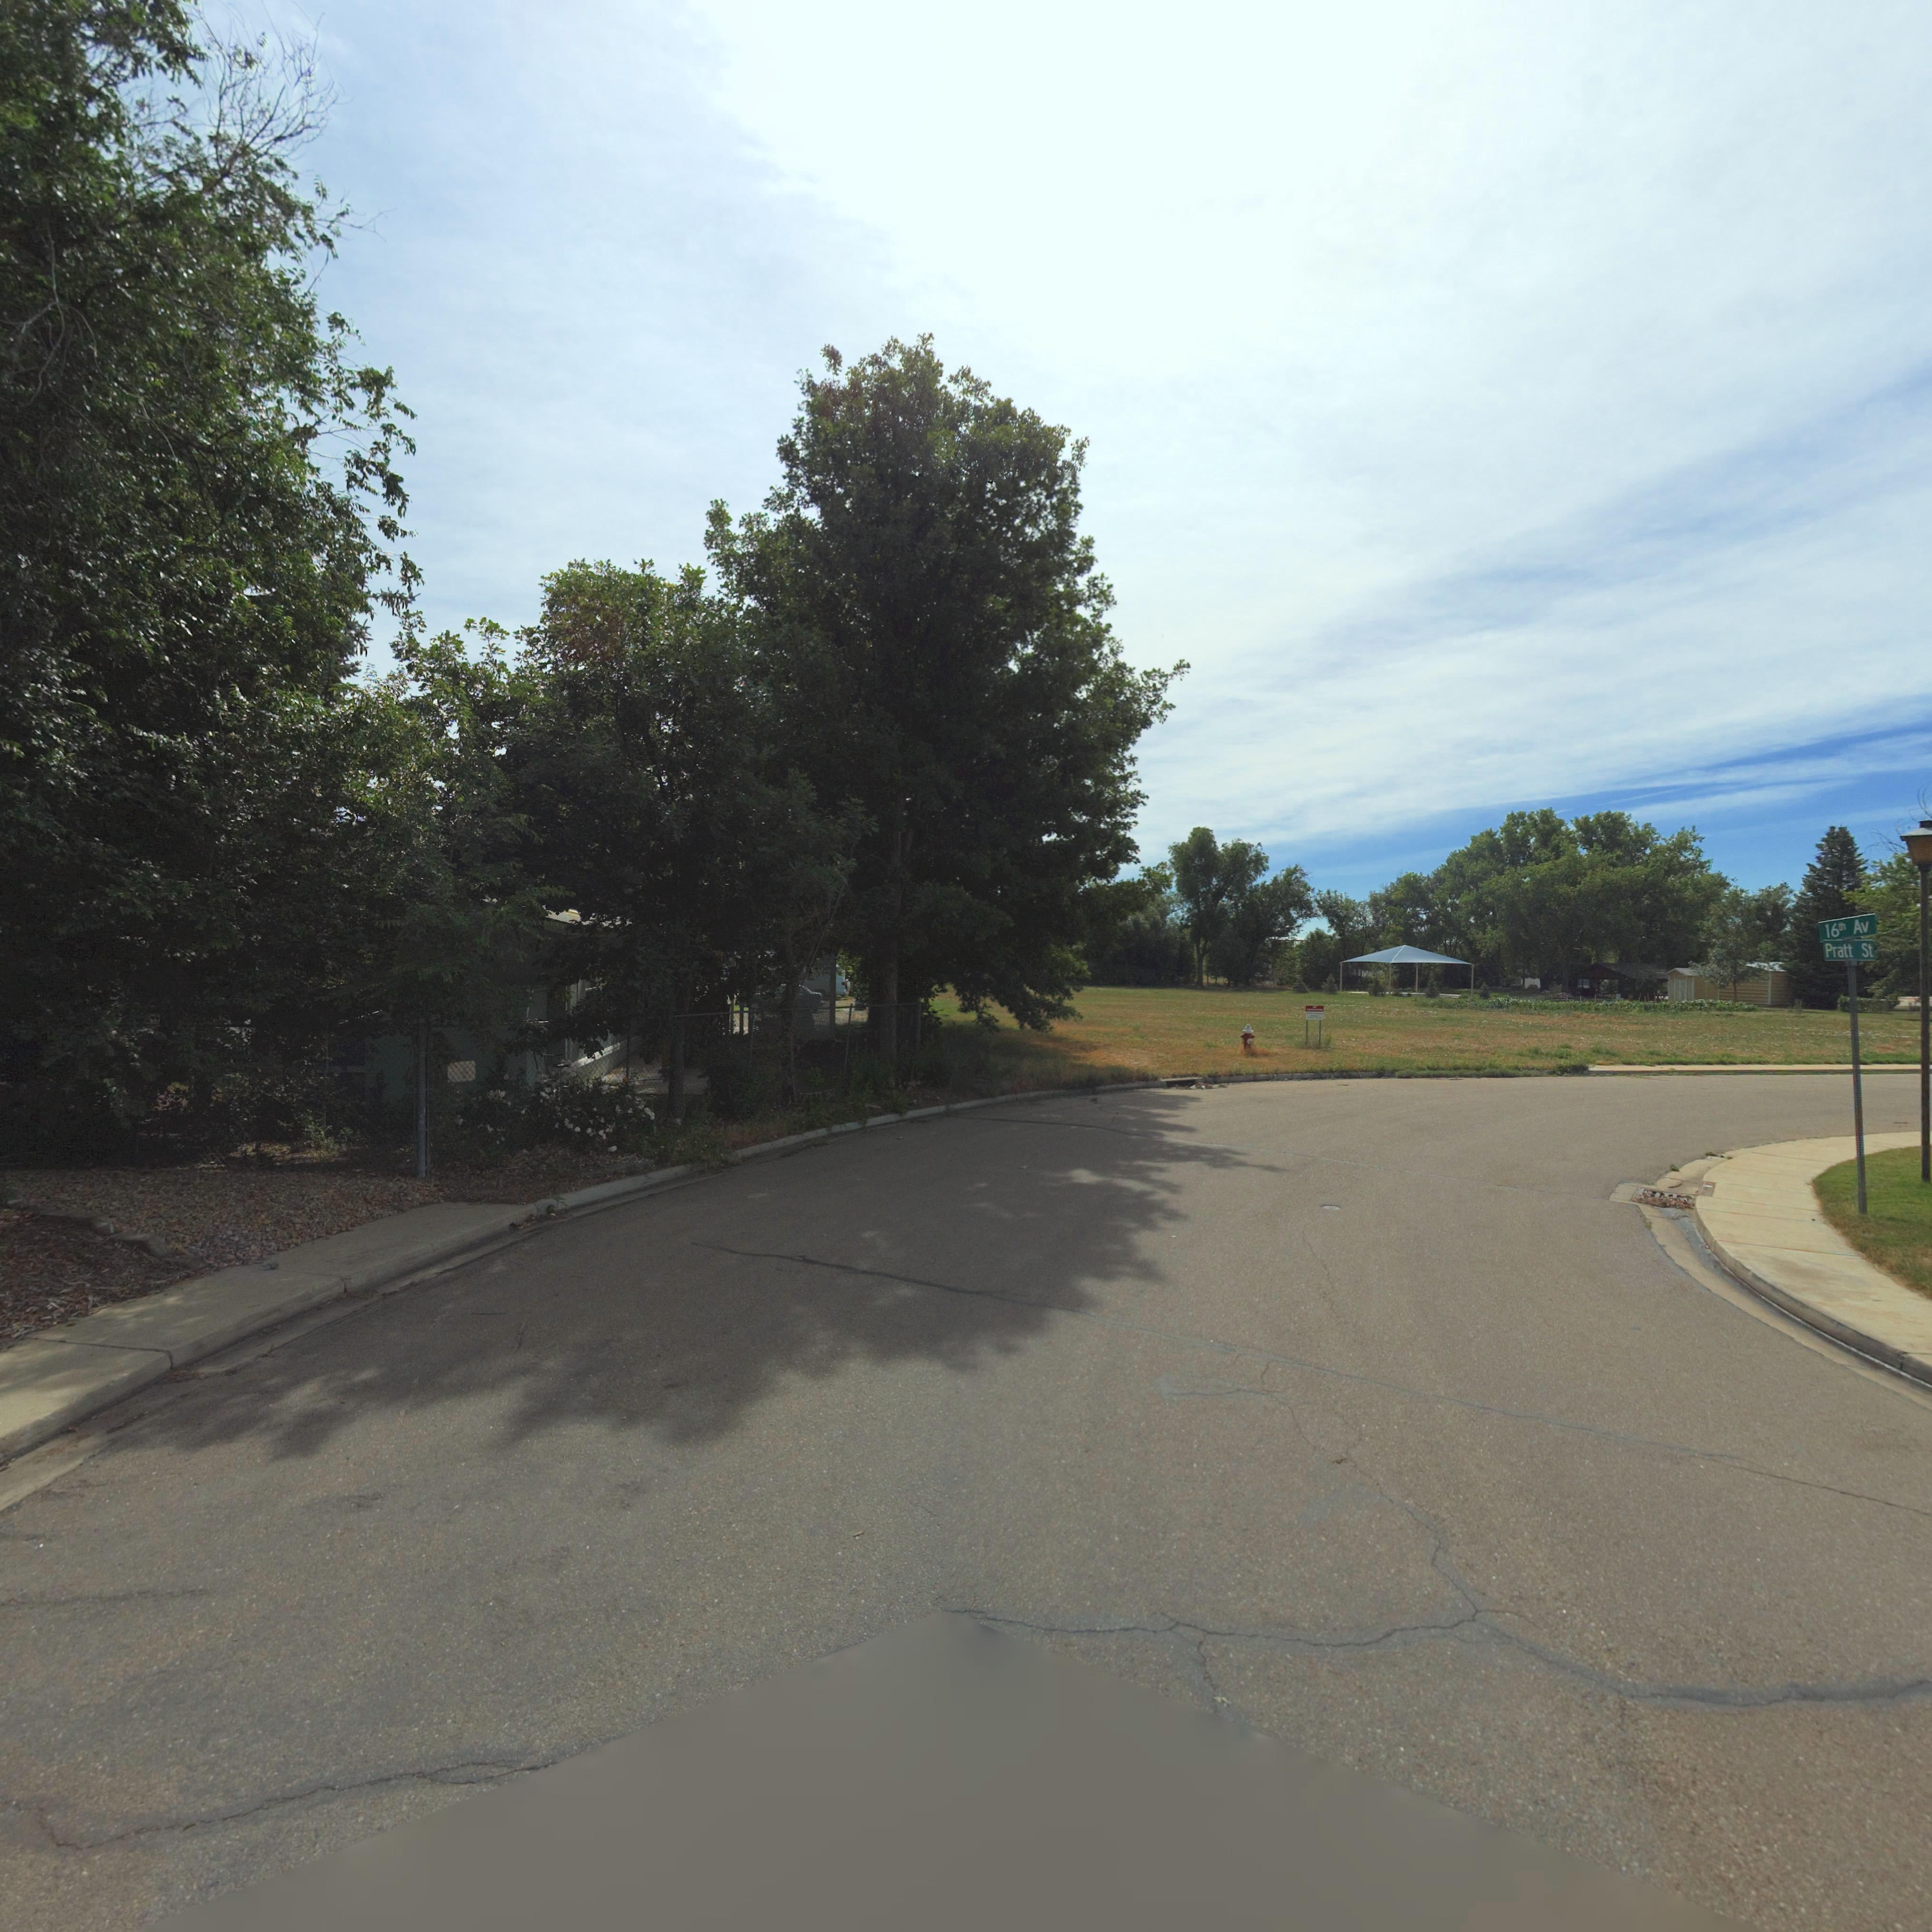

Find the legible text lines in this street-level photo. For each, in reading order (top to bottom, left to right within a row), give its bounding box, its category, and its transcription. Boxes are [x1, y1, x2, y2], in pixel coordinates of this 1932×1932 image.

[1825, 918, 1869, 938] StreetName: 16th Av
[1825, 943, 1874, 958] StreetName: Pratt St